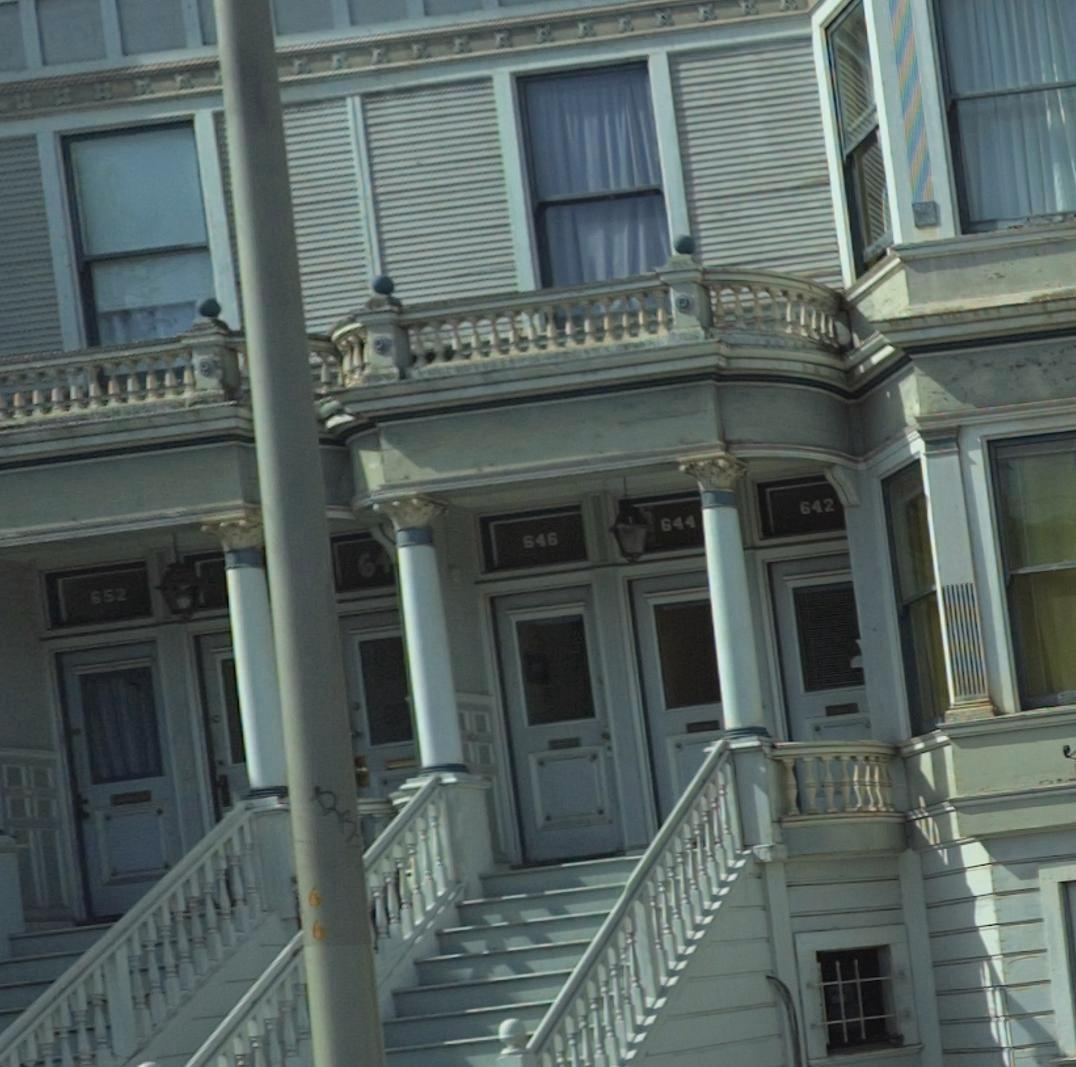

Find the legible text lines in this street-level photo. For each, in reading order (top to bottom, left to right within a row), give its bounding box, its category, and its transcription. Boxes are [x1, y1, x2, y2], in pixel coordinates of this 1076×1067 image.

[796, 495, 836, 516] StreetNumber: 642
[658, 511, 699, 537] StreetNumber: 644
[520, 530, 560, 552] StreetNumber: 646
[354, 544, 407, 581] StreetNumber: 64*
[88, 584, 129, 607] StreetNumber: 652